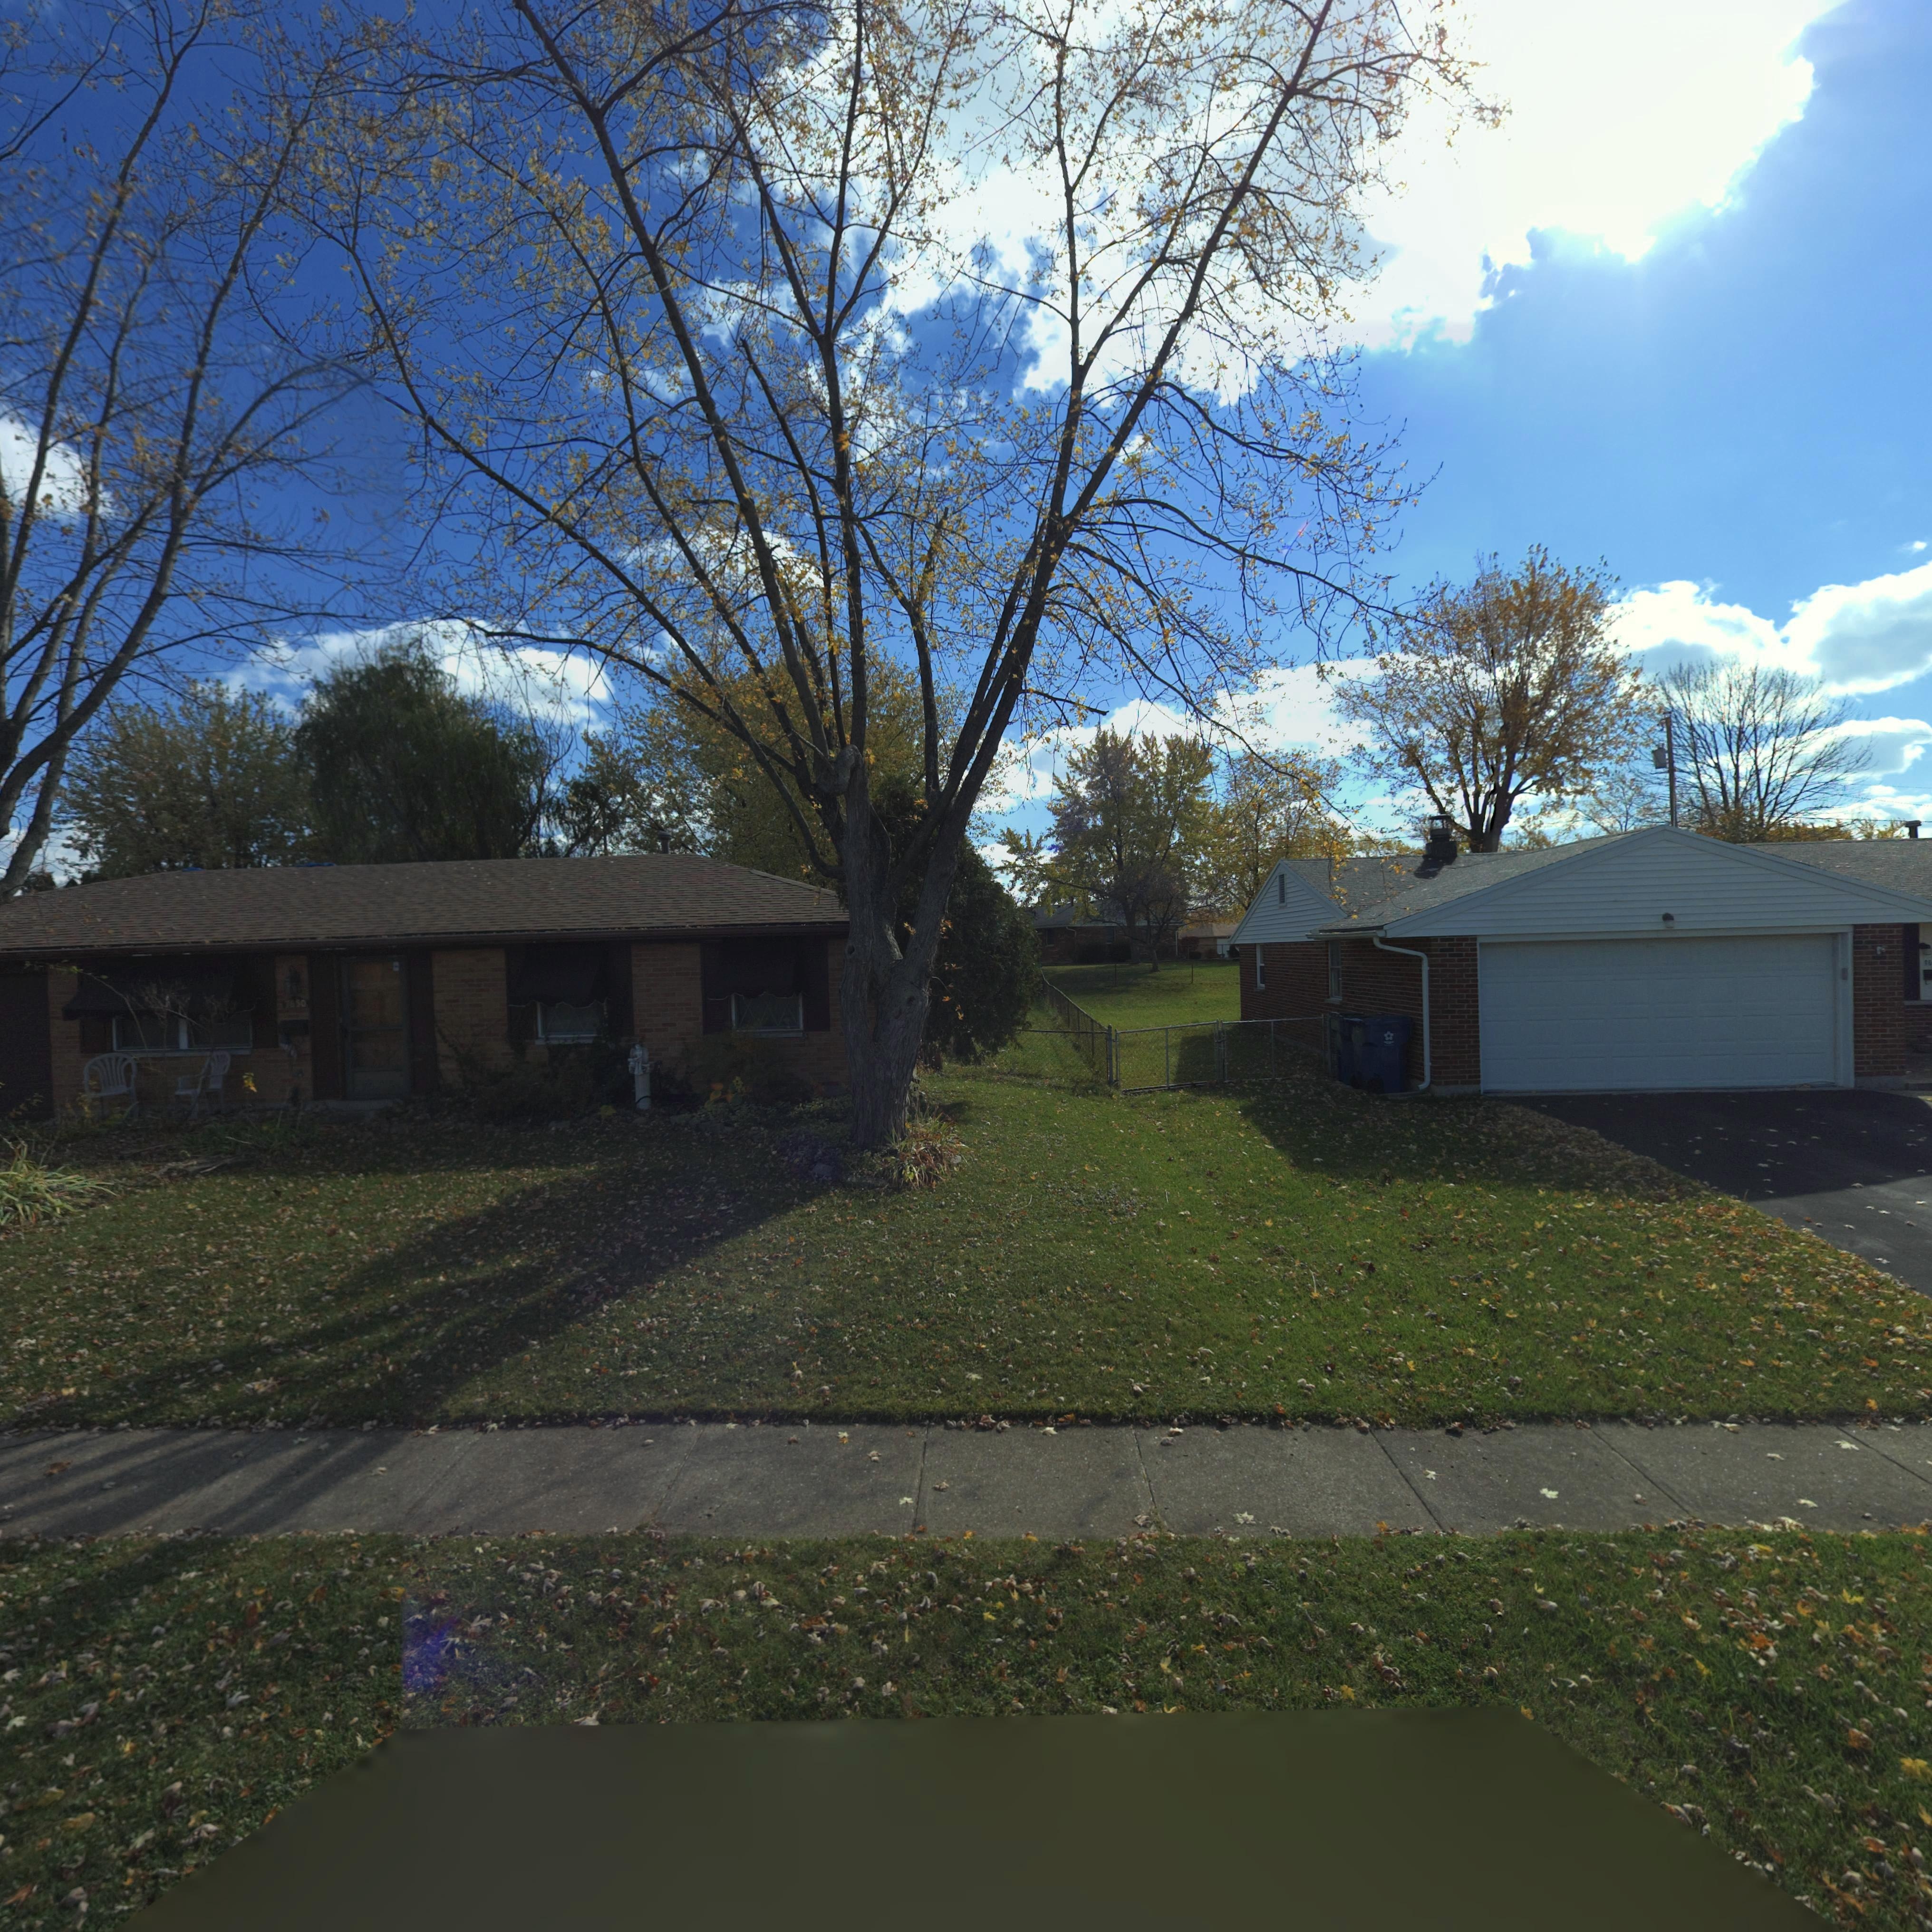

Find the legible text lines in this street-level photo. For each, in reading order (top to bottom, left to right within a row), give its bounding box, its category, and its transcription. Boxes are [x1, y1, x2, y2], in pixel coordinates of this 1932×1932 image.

[282, 999, 307, 1009] StreetNumber: 7*50